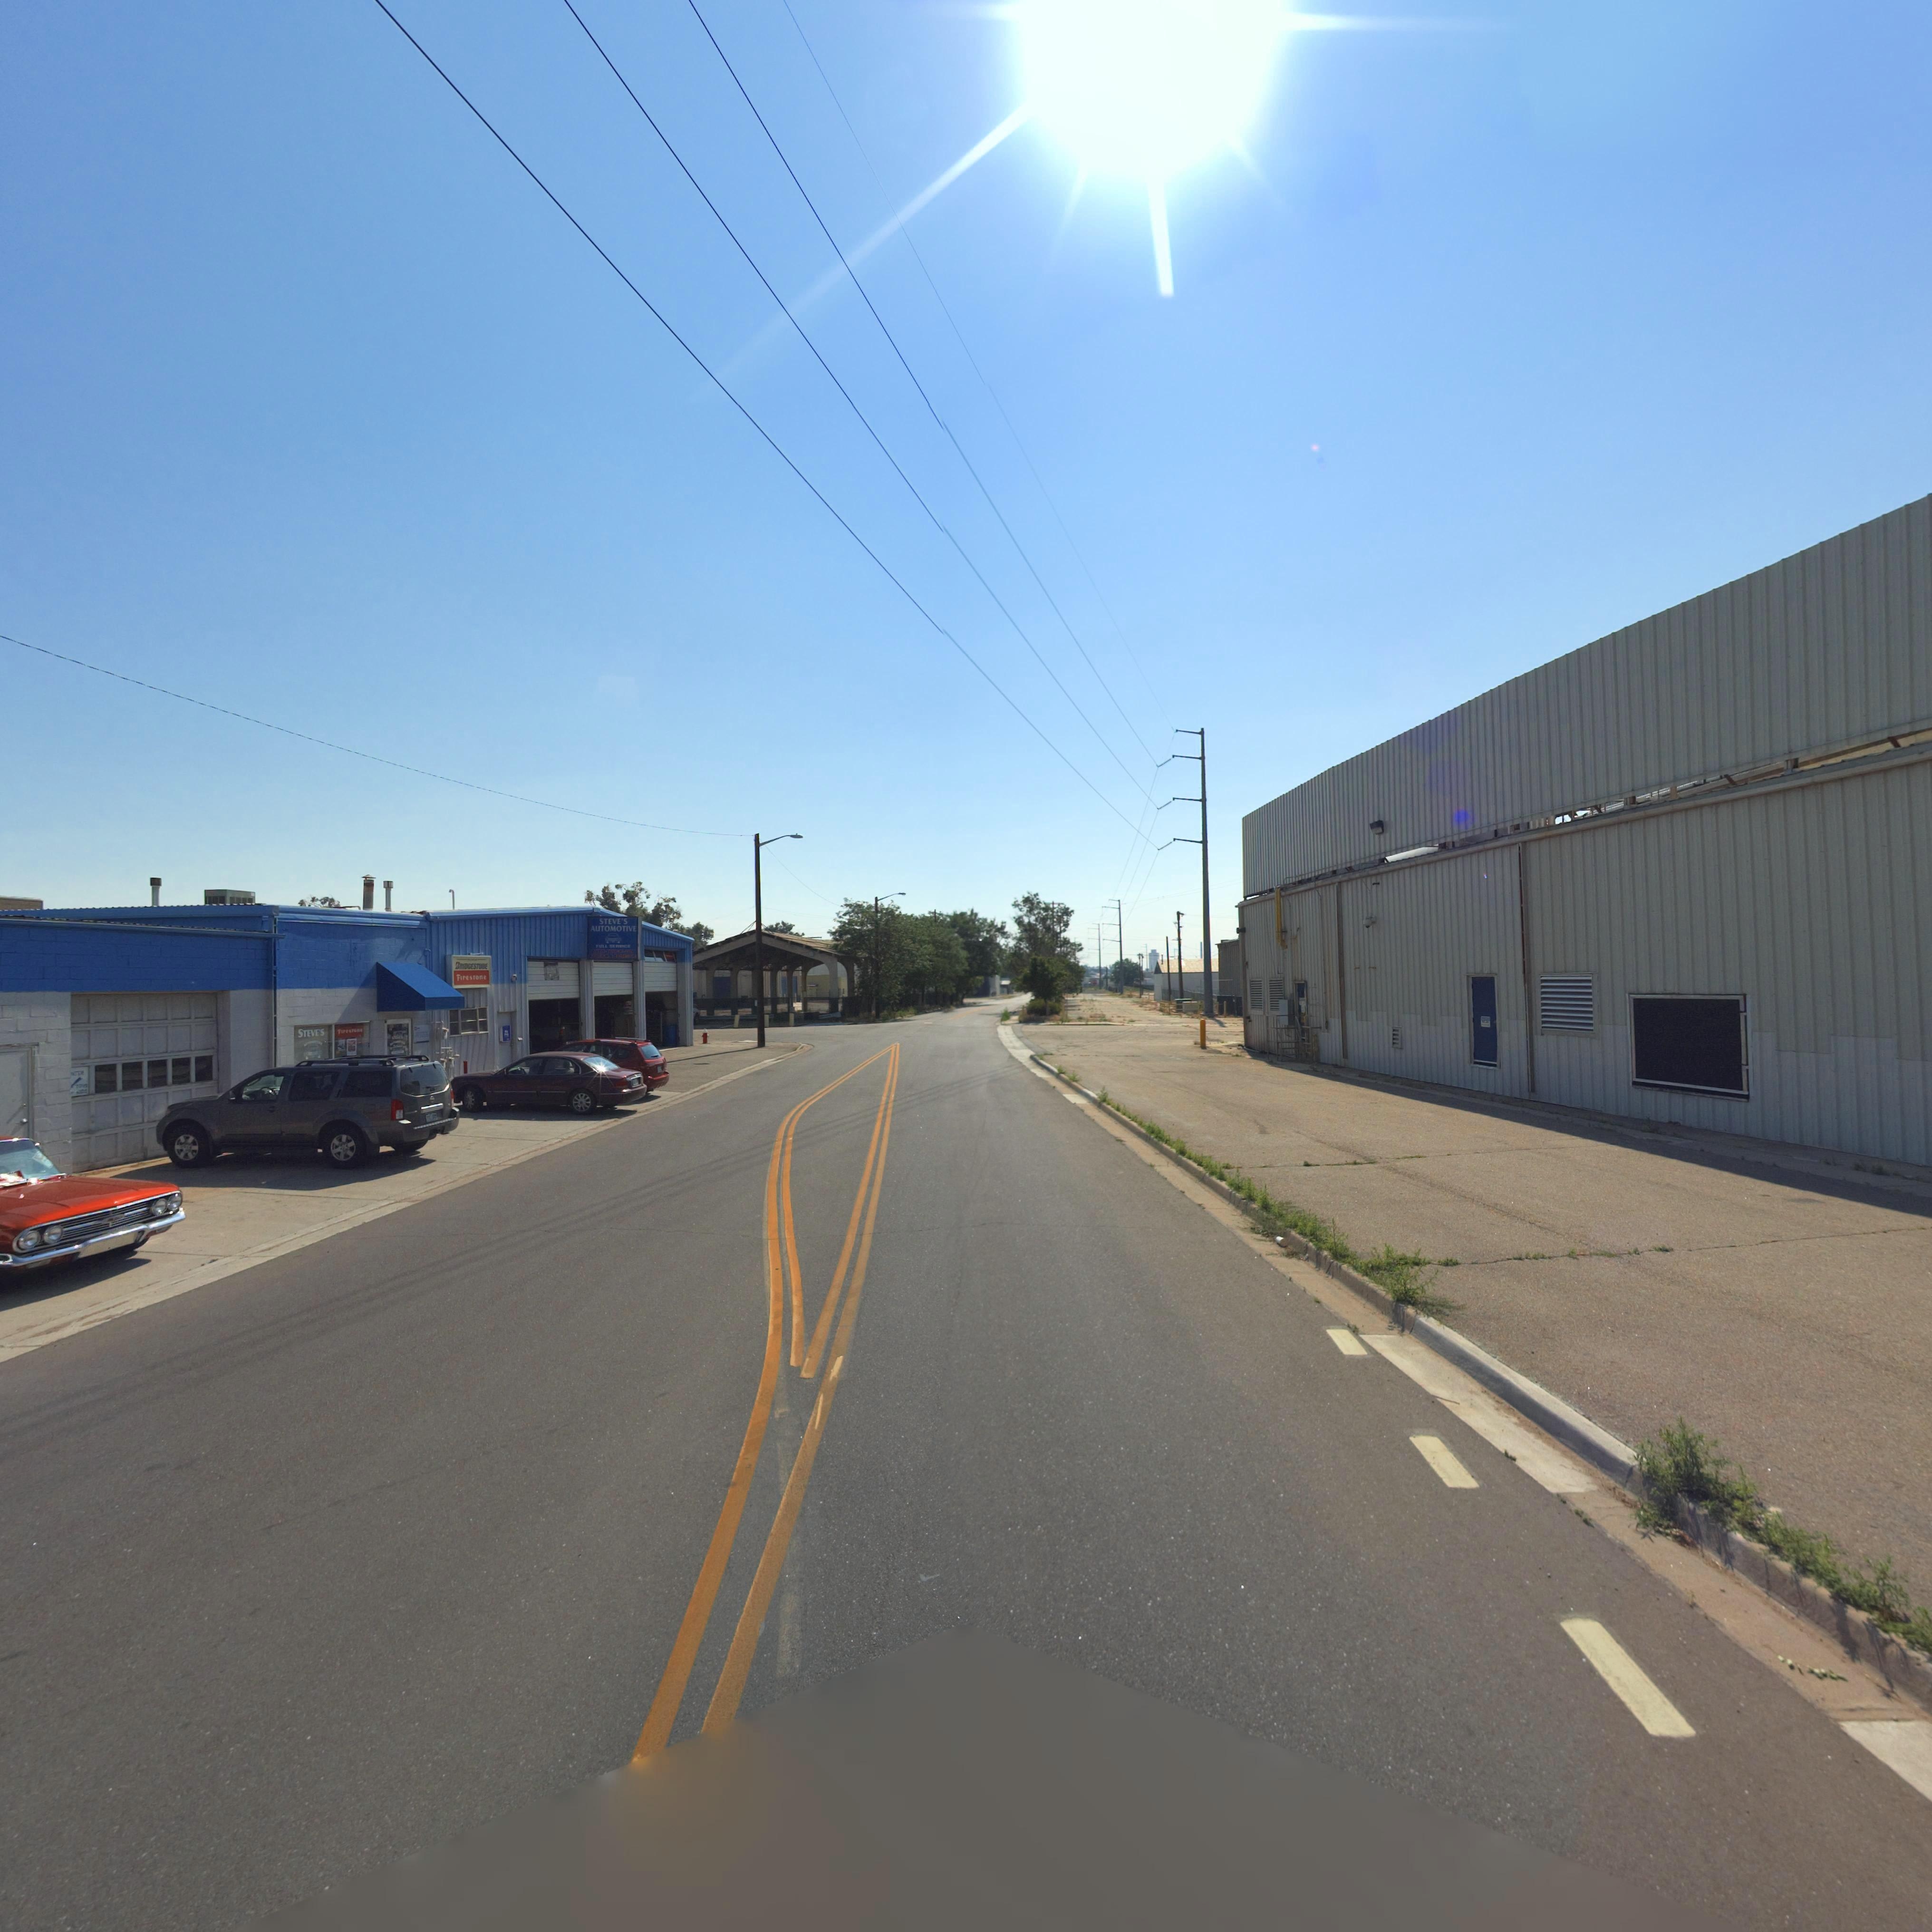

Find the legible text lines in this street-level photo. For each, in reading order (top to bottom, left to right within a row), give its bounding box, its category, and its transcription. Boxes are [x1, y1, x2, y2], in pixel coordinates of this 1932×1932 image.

[599, 918, 628, 925] BusinessName: STEVE'S
[590, 925, 637, 932] BusinessName: AUTOMOTIVE
[298, 1027, 325, 1038] BusinessName: STEVE'S
[303, 1039, 323, 1047] BusinessName: AUTOMOTIVE